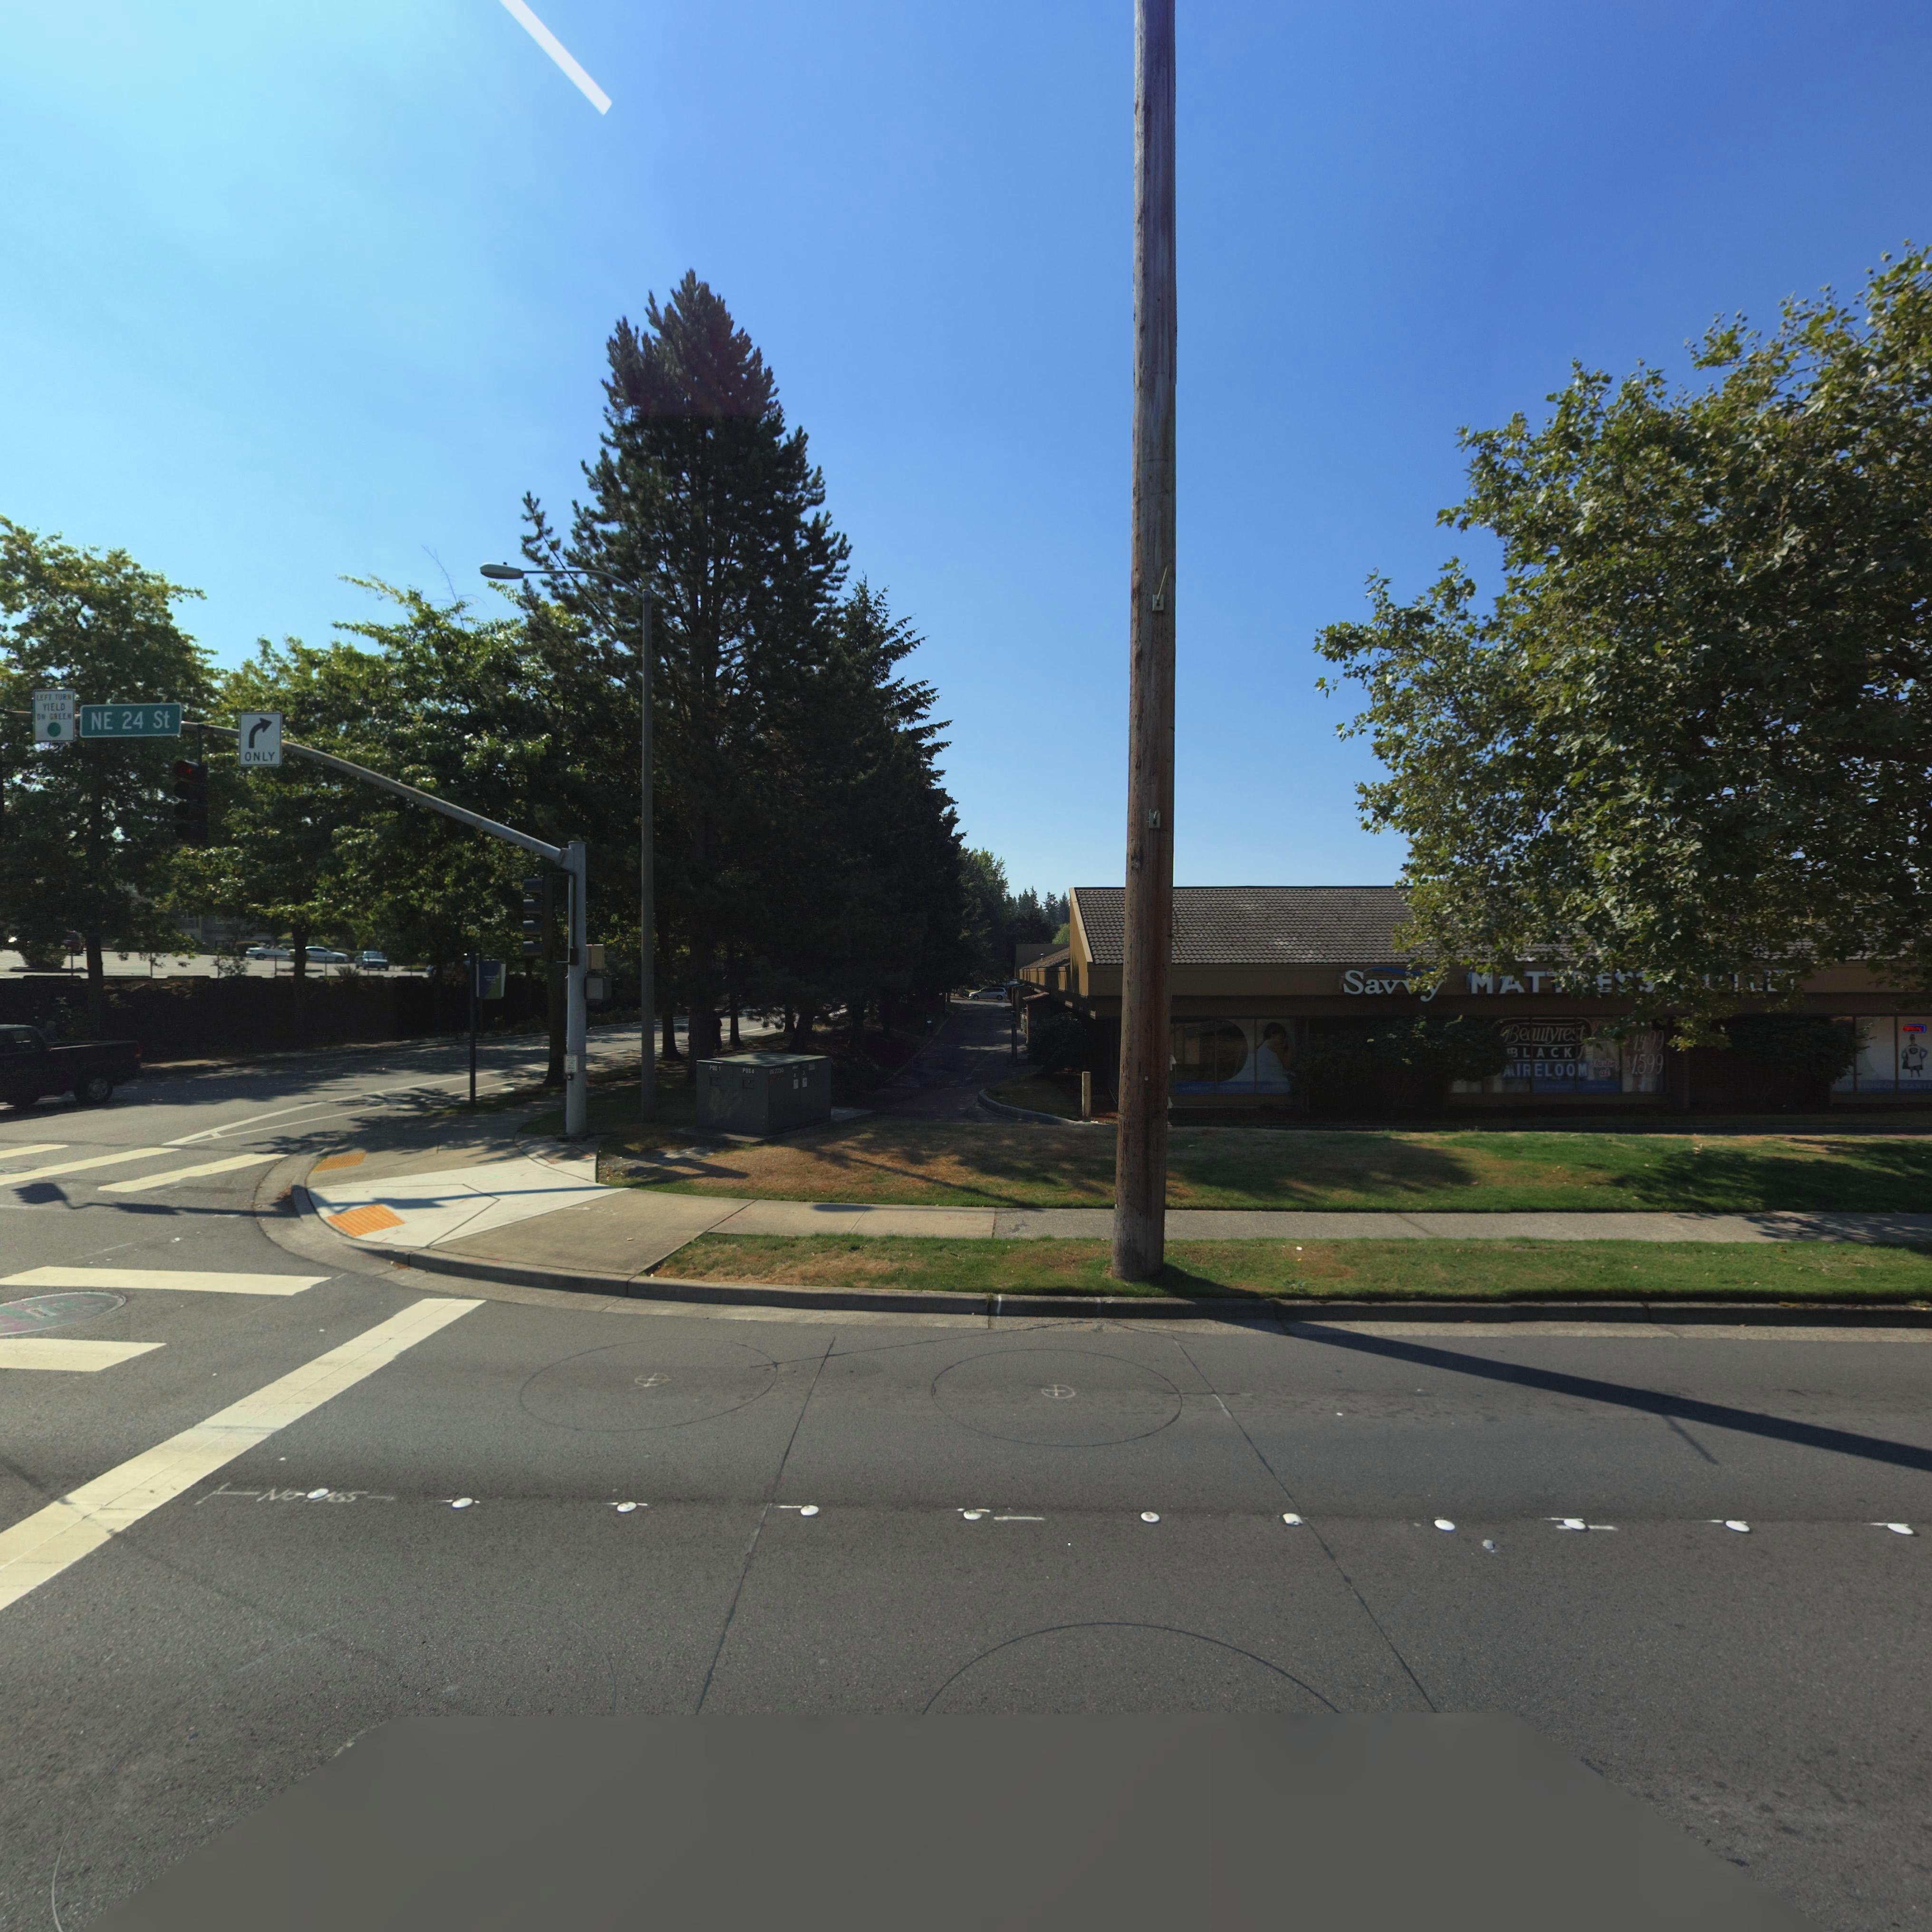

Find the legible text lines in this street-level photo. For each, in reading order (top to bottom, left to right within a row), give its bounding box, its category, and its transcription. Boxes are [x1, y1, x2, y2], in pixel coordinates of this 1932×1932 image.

[91, 711, 170, 730] StreetName: NE u st